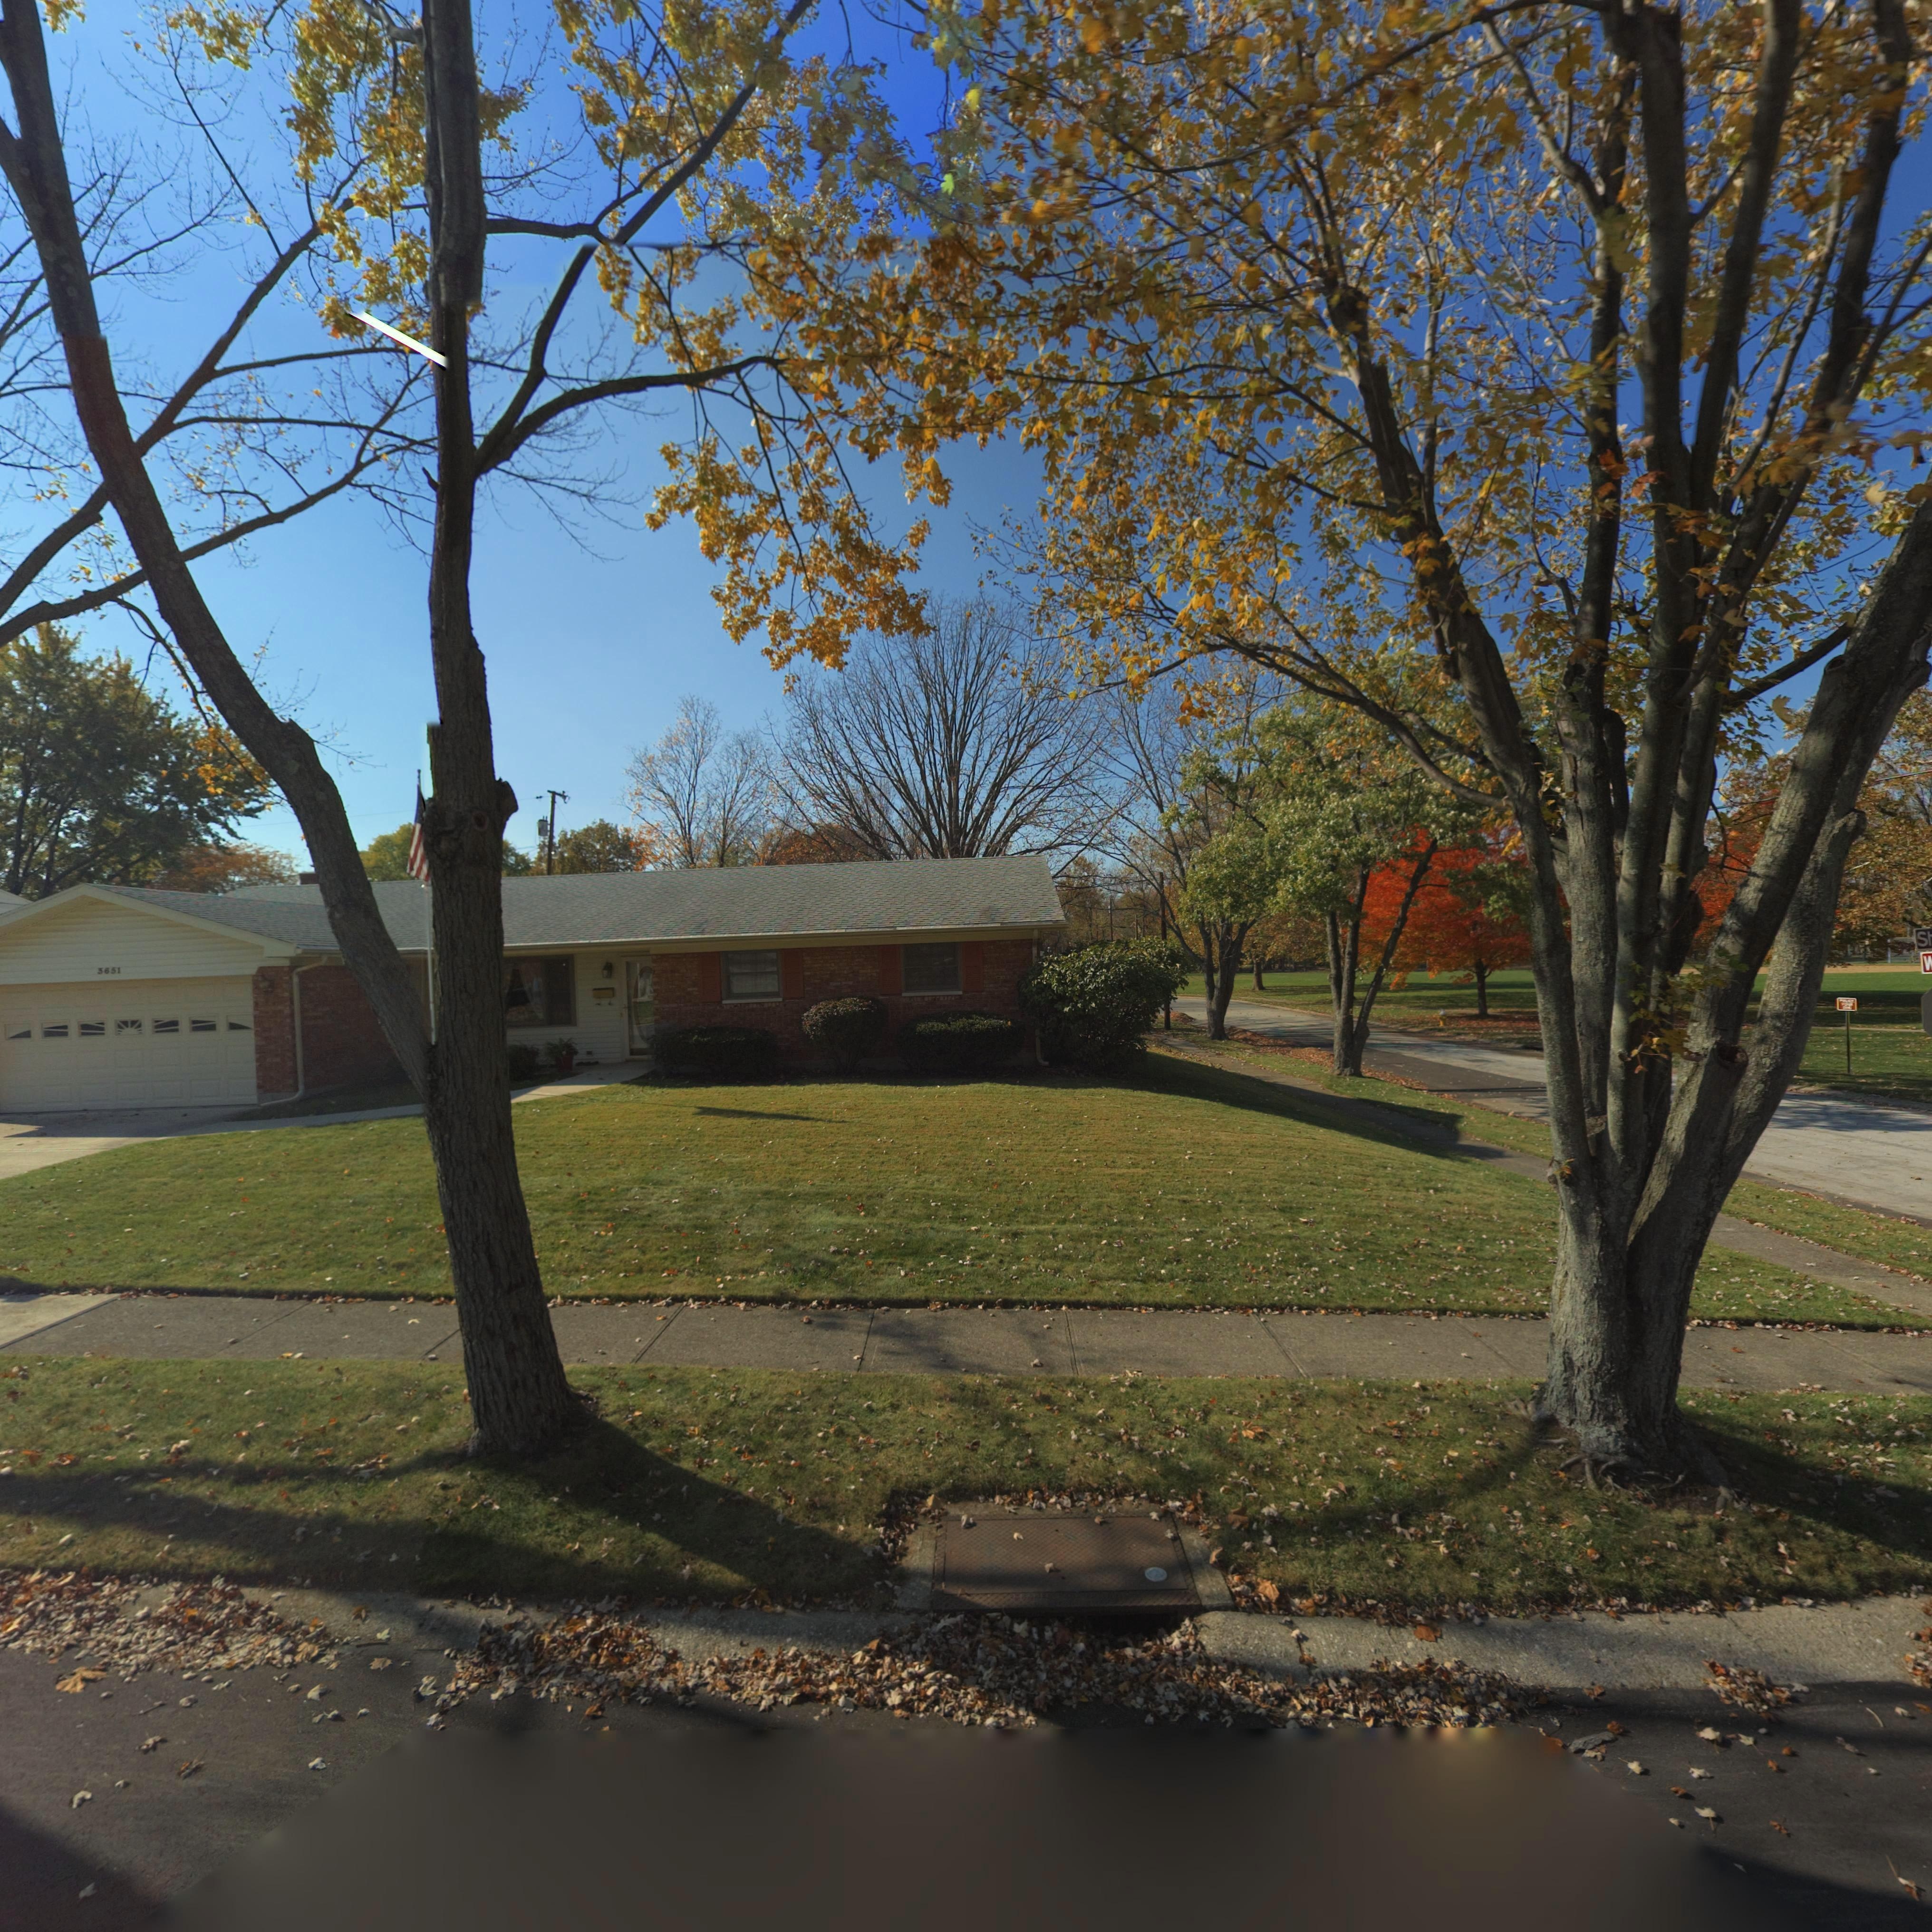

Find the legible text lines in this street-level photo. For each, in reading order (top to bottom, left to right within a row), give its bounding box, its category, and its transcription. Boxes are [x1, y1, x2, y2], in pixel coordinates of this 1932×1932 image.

[96, 966, 122, 976] StreetNumber: 3651